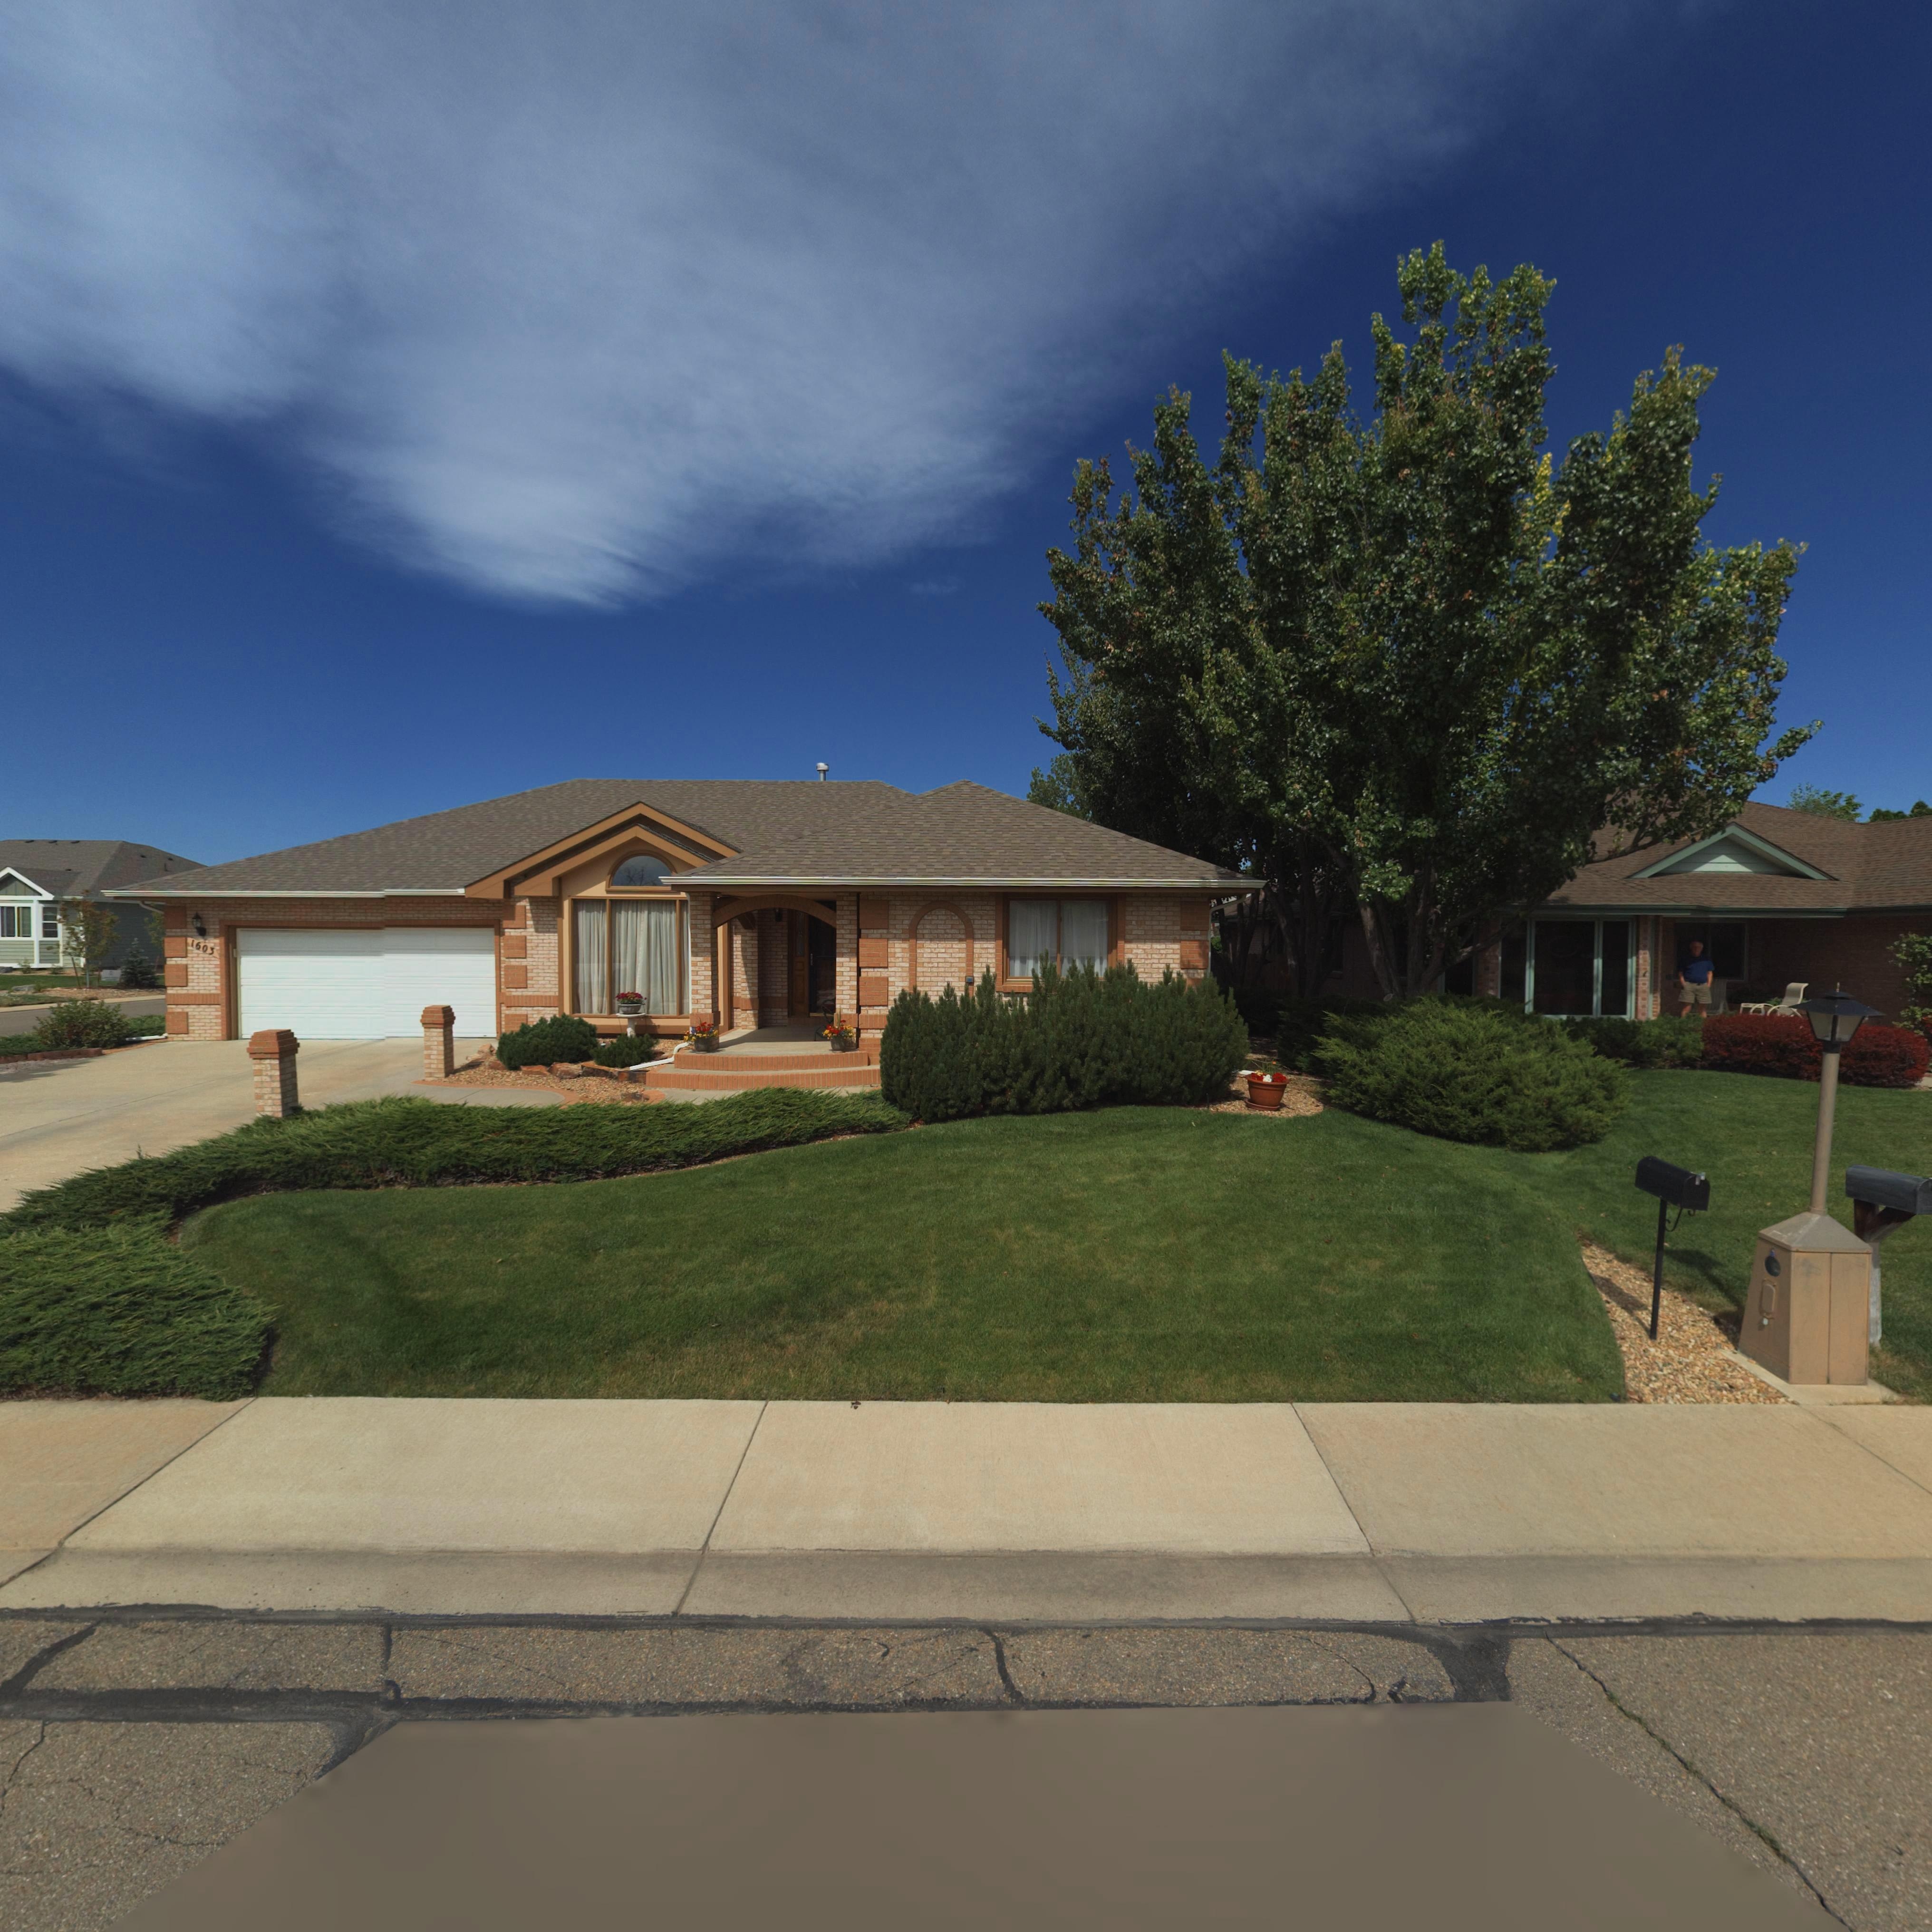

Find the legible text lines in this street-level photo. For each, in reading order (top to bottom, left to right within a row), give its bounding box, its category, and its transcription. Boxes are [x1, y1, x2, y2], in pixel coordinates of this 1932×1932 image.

[190, 938, 215, 956] StreetNumber: 1603